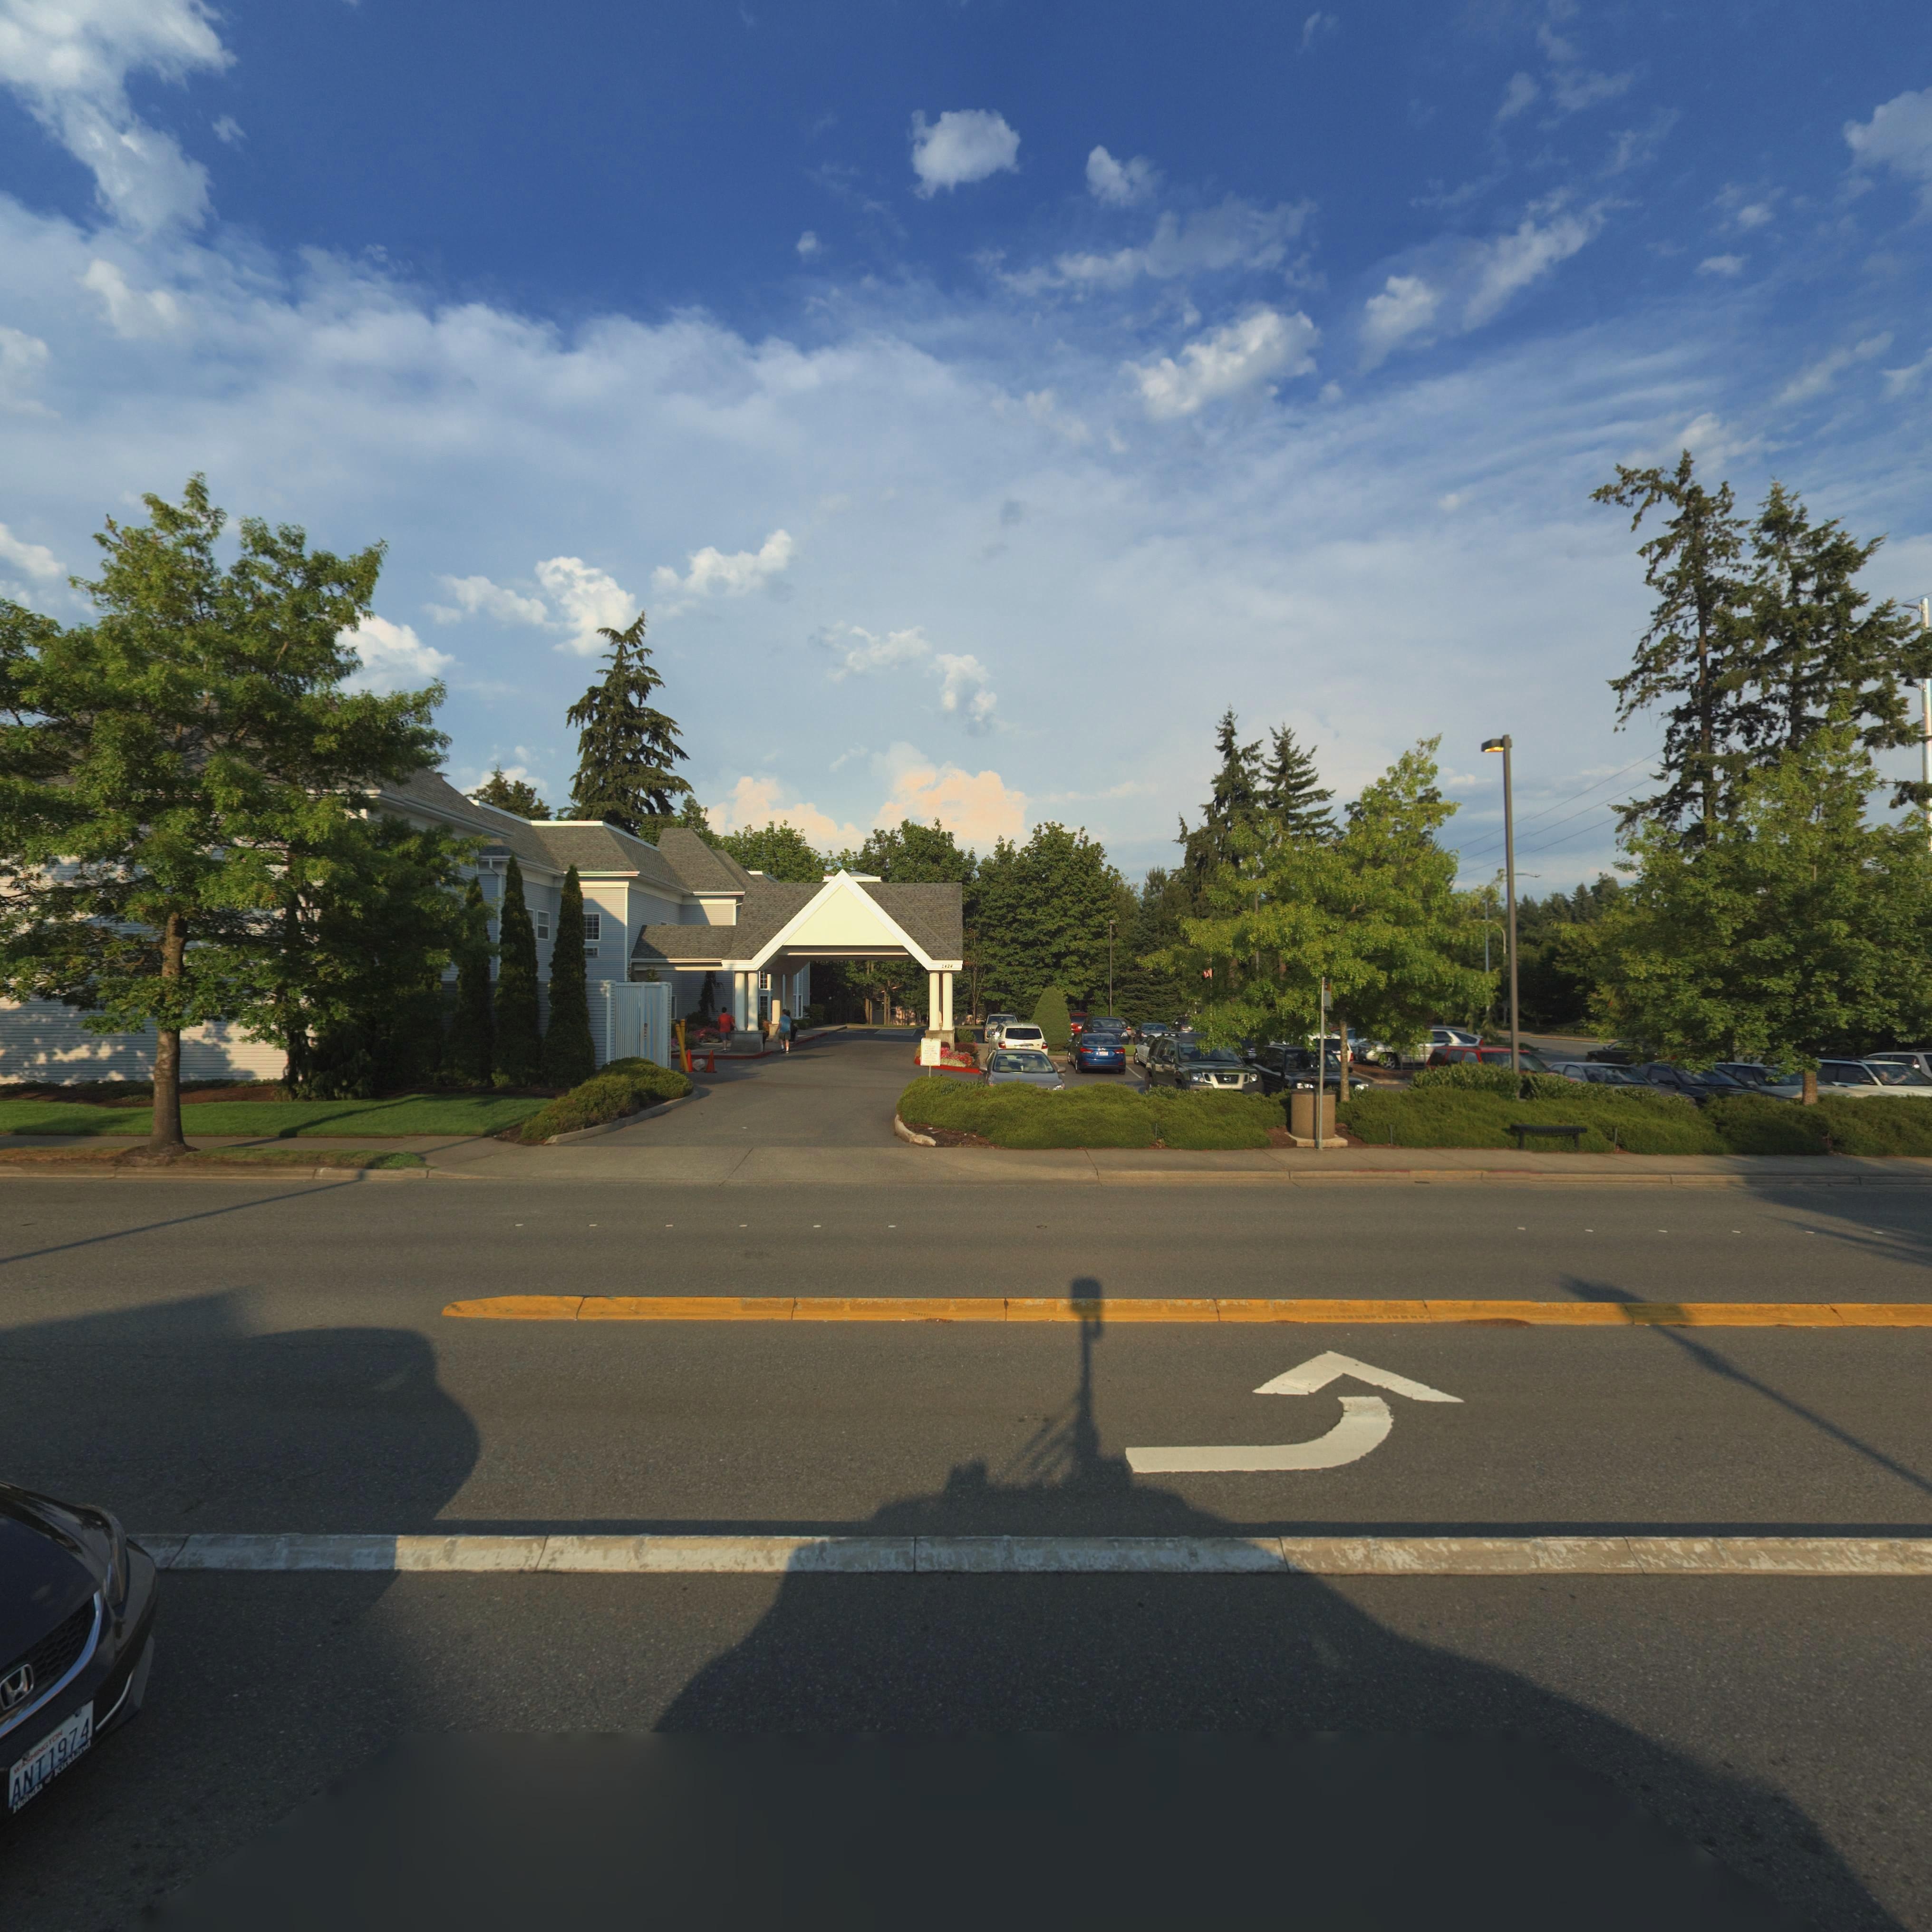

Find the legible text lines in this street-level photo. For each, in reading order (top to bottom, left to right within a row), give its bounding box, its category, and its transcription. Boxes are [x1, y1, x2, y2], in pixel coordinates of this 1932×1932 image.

[940, 964, 953, 968] StreetNumber: 2424